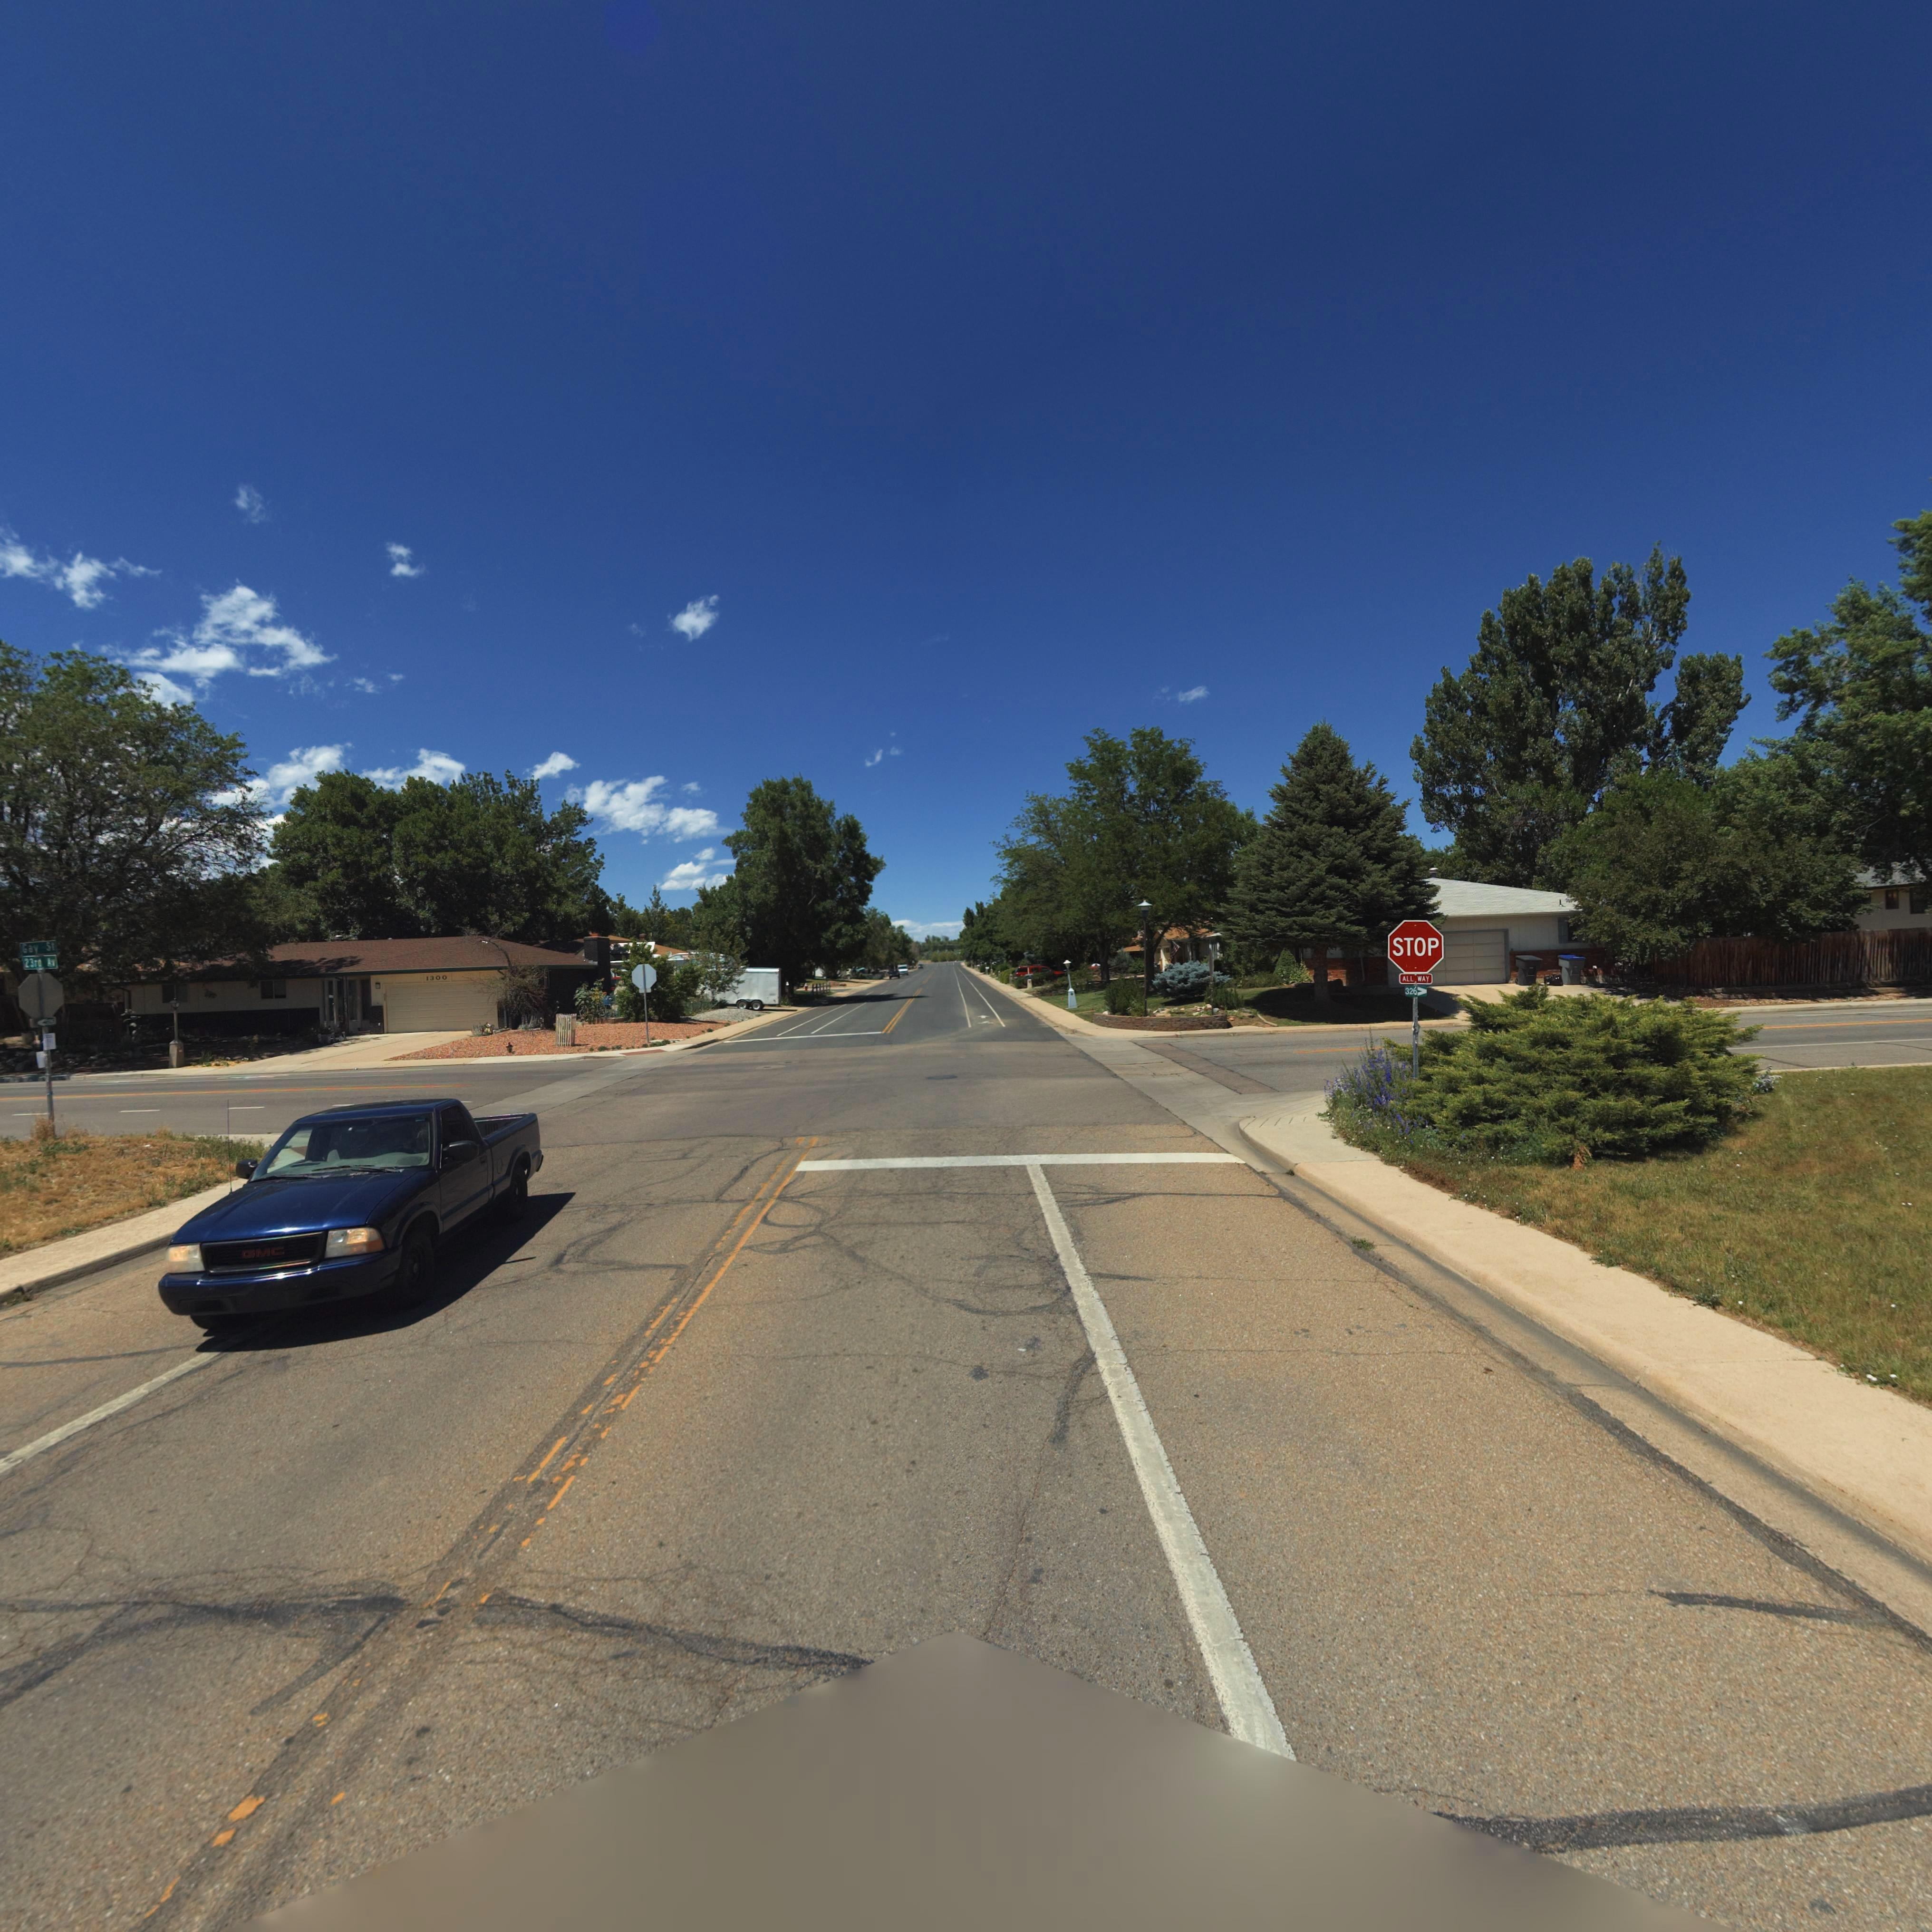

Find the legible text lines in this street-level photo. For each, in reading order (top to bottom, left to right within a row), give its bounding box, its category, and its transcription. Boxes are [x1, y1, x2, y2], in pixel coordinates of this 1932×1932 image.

[22, 941, 55, 956] StreetName: Gay St
[24, 957, 56, 968] StreetNumber: 23rd Av
[426, 975, 447, 980] StreetNumber: 1300